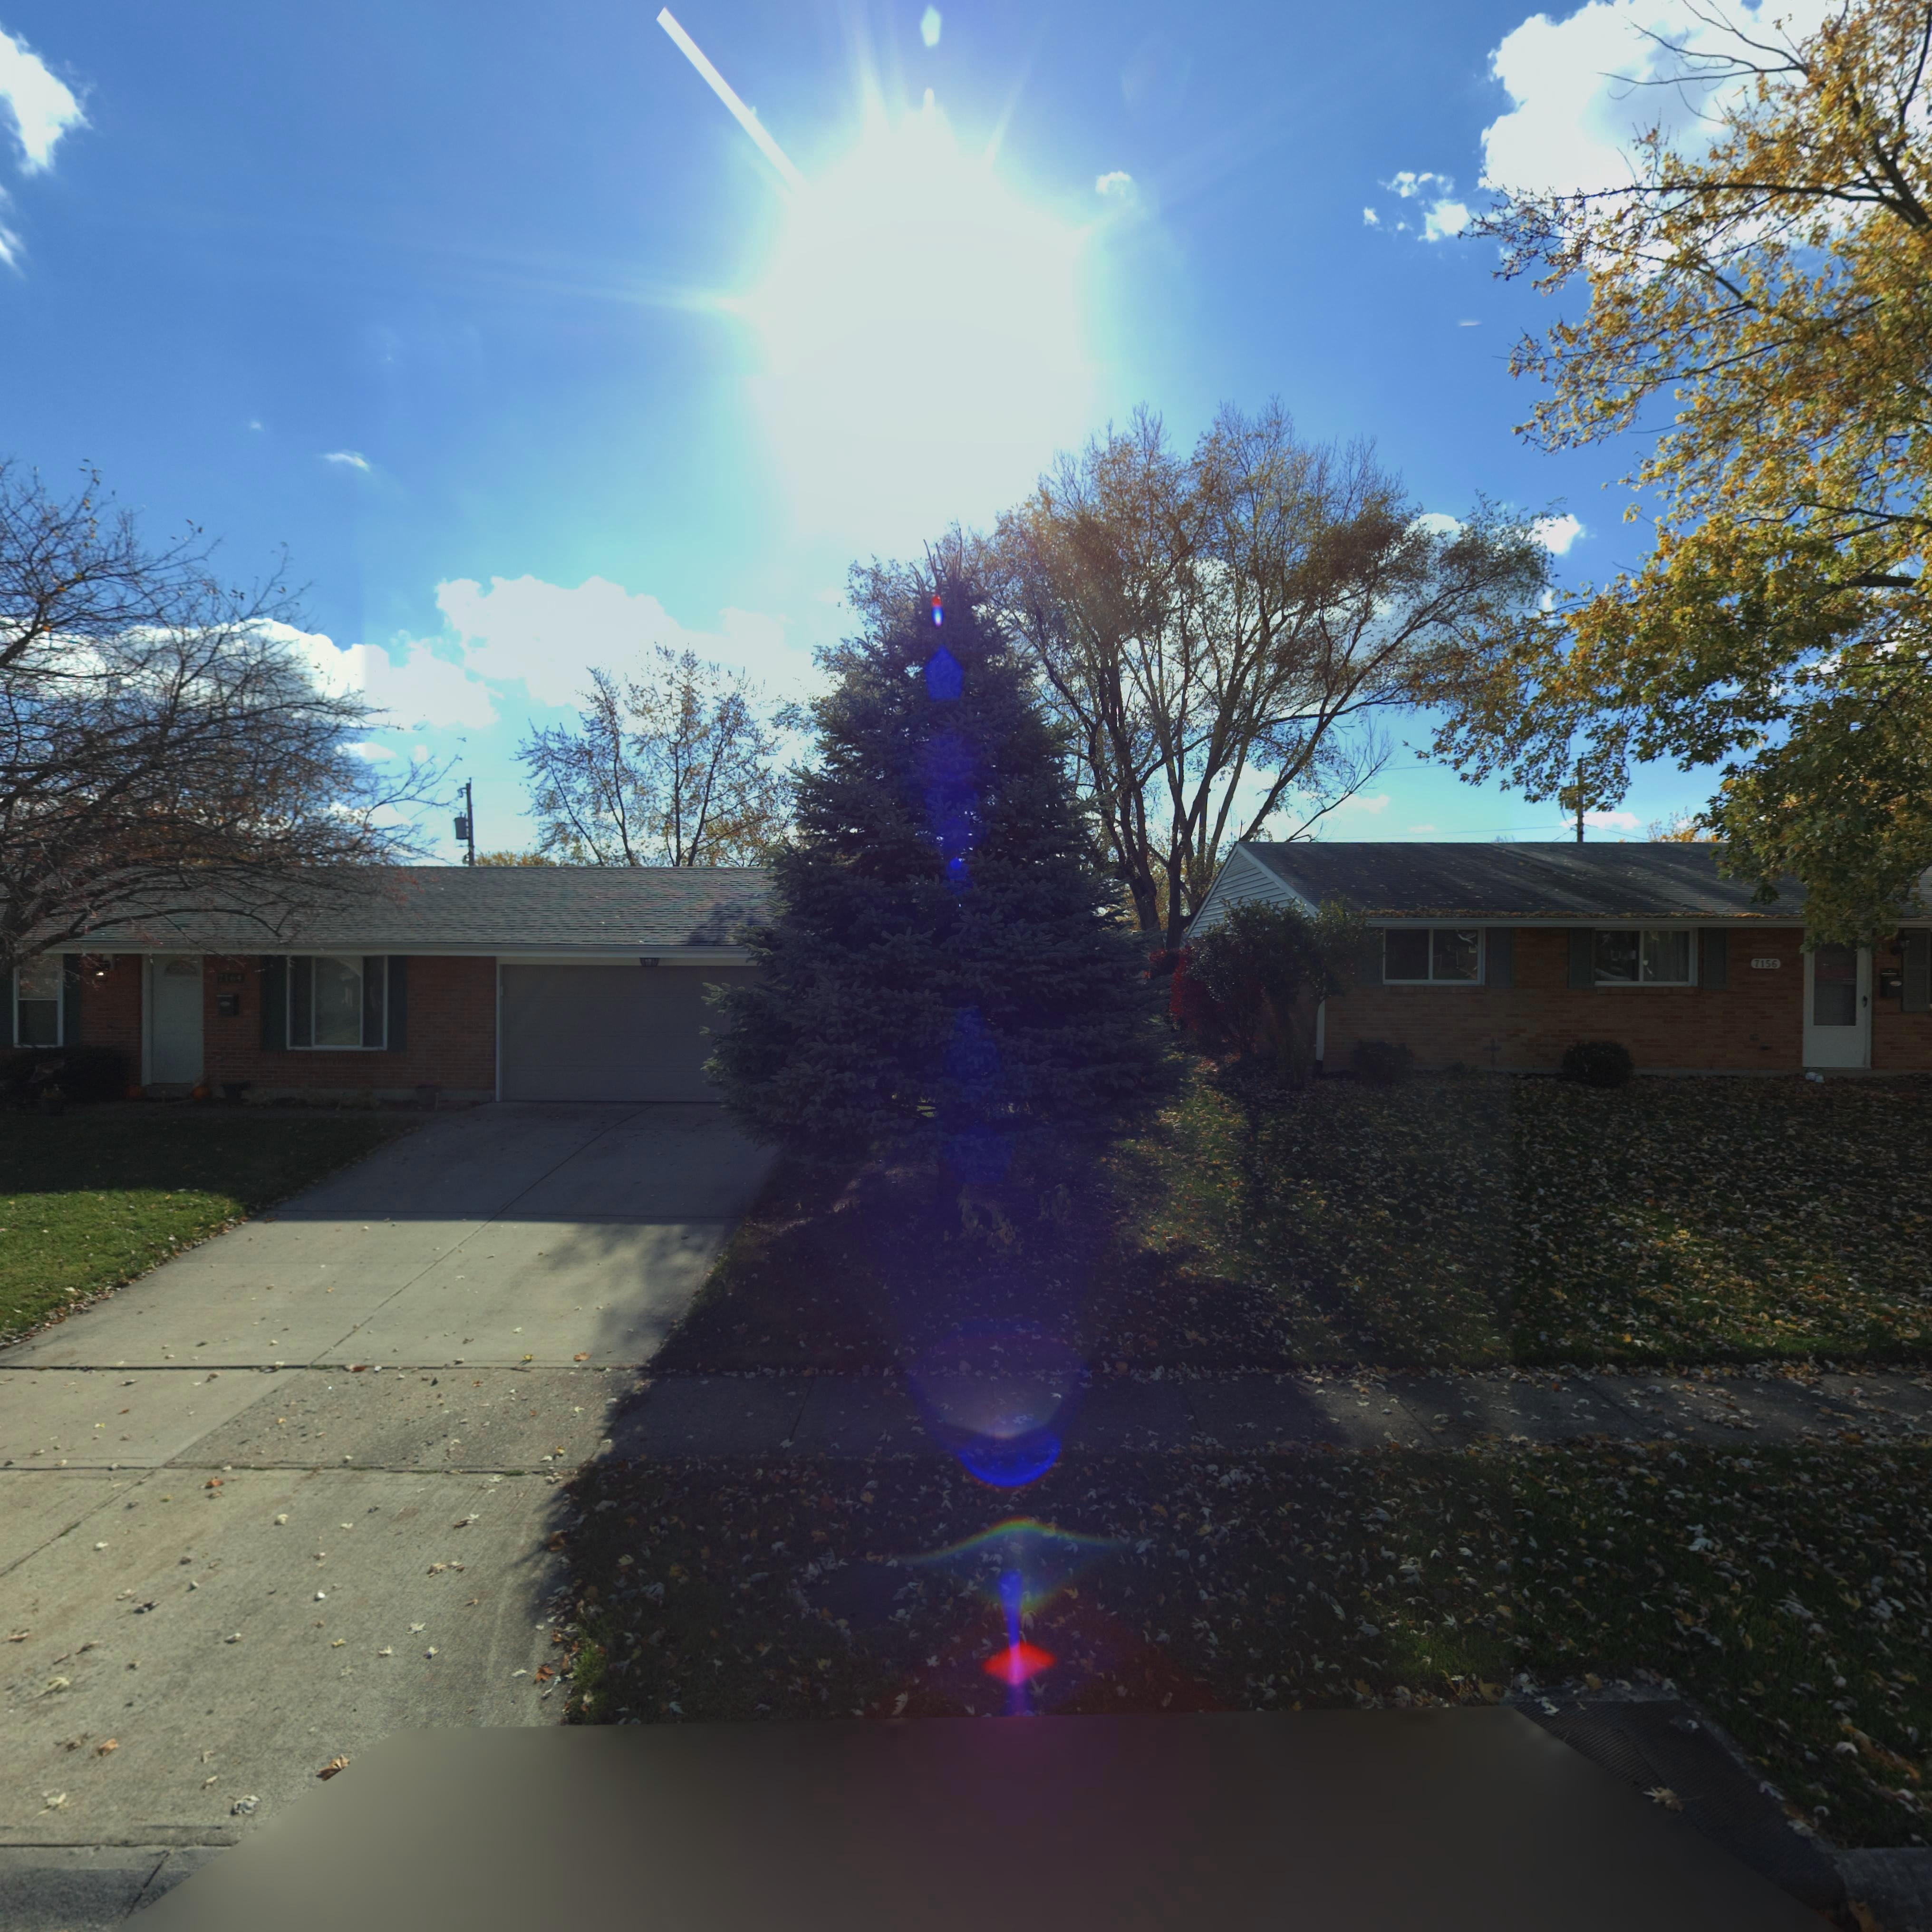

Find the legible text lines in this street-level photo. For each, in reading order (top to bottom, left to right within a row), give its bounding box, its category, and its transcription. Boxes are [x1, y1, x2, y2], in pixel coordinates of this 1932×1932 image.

[1753, 959, 1779, 969] StreetNumber: 7156
[215, 973, 243, 984] StreetNumber: 716*